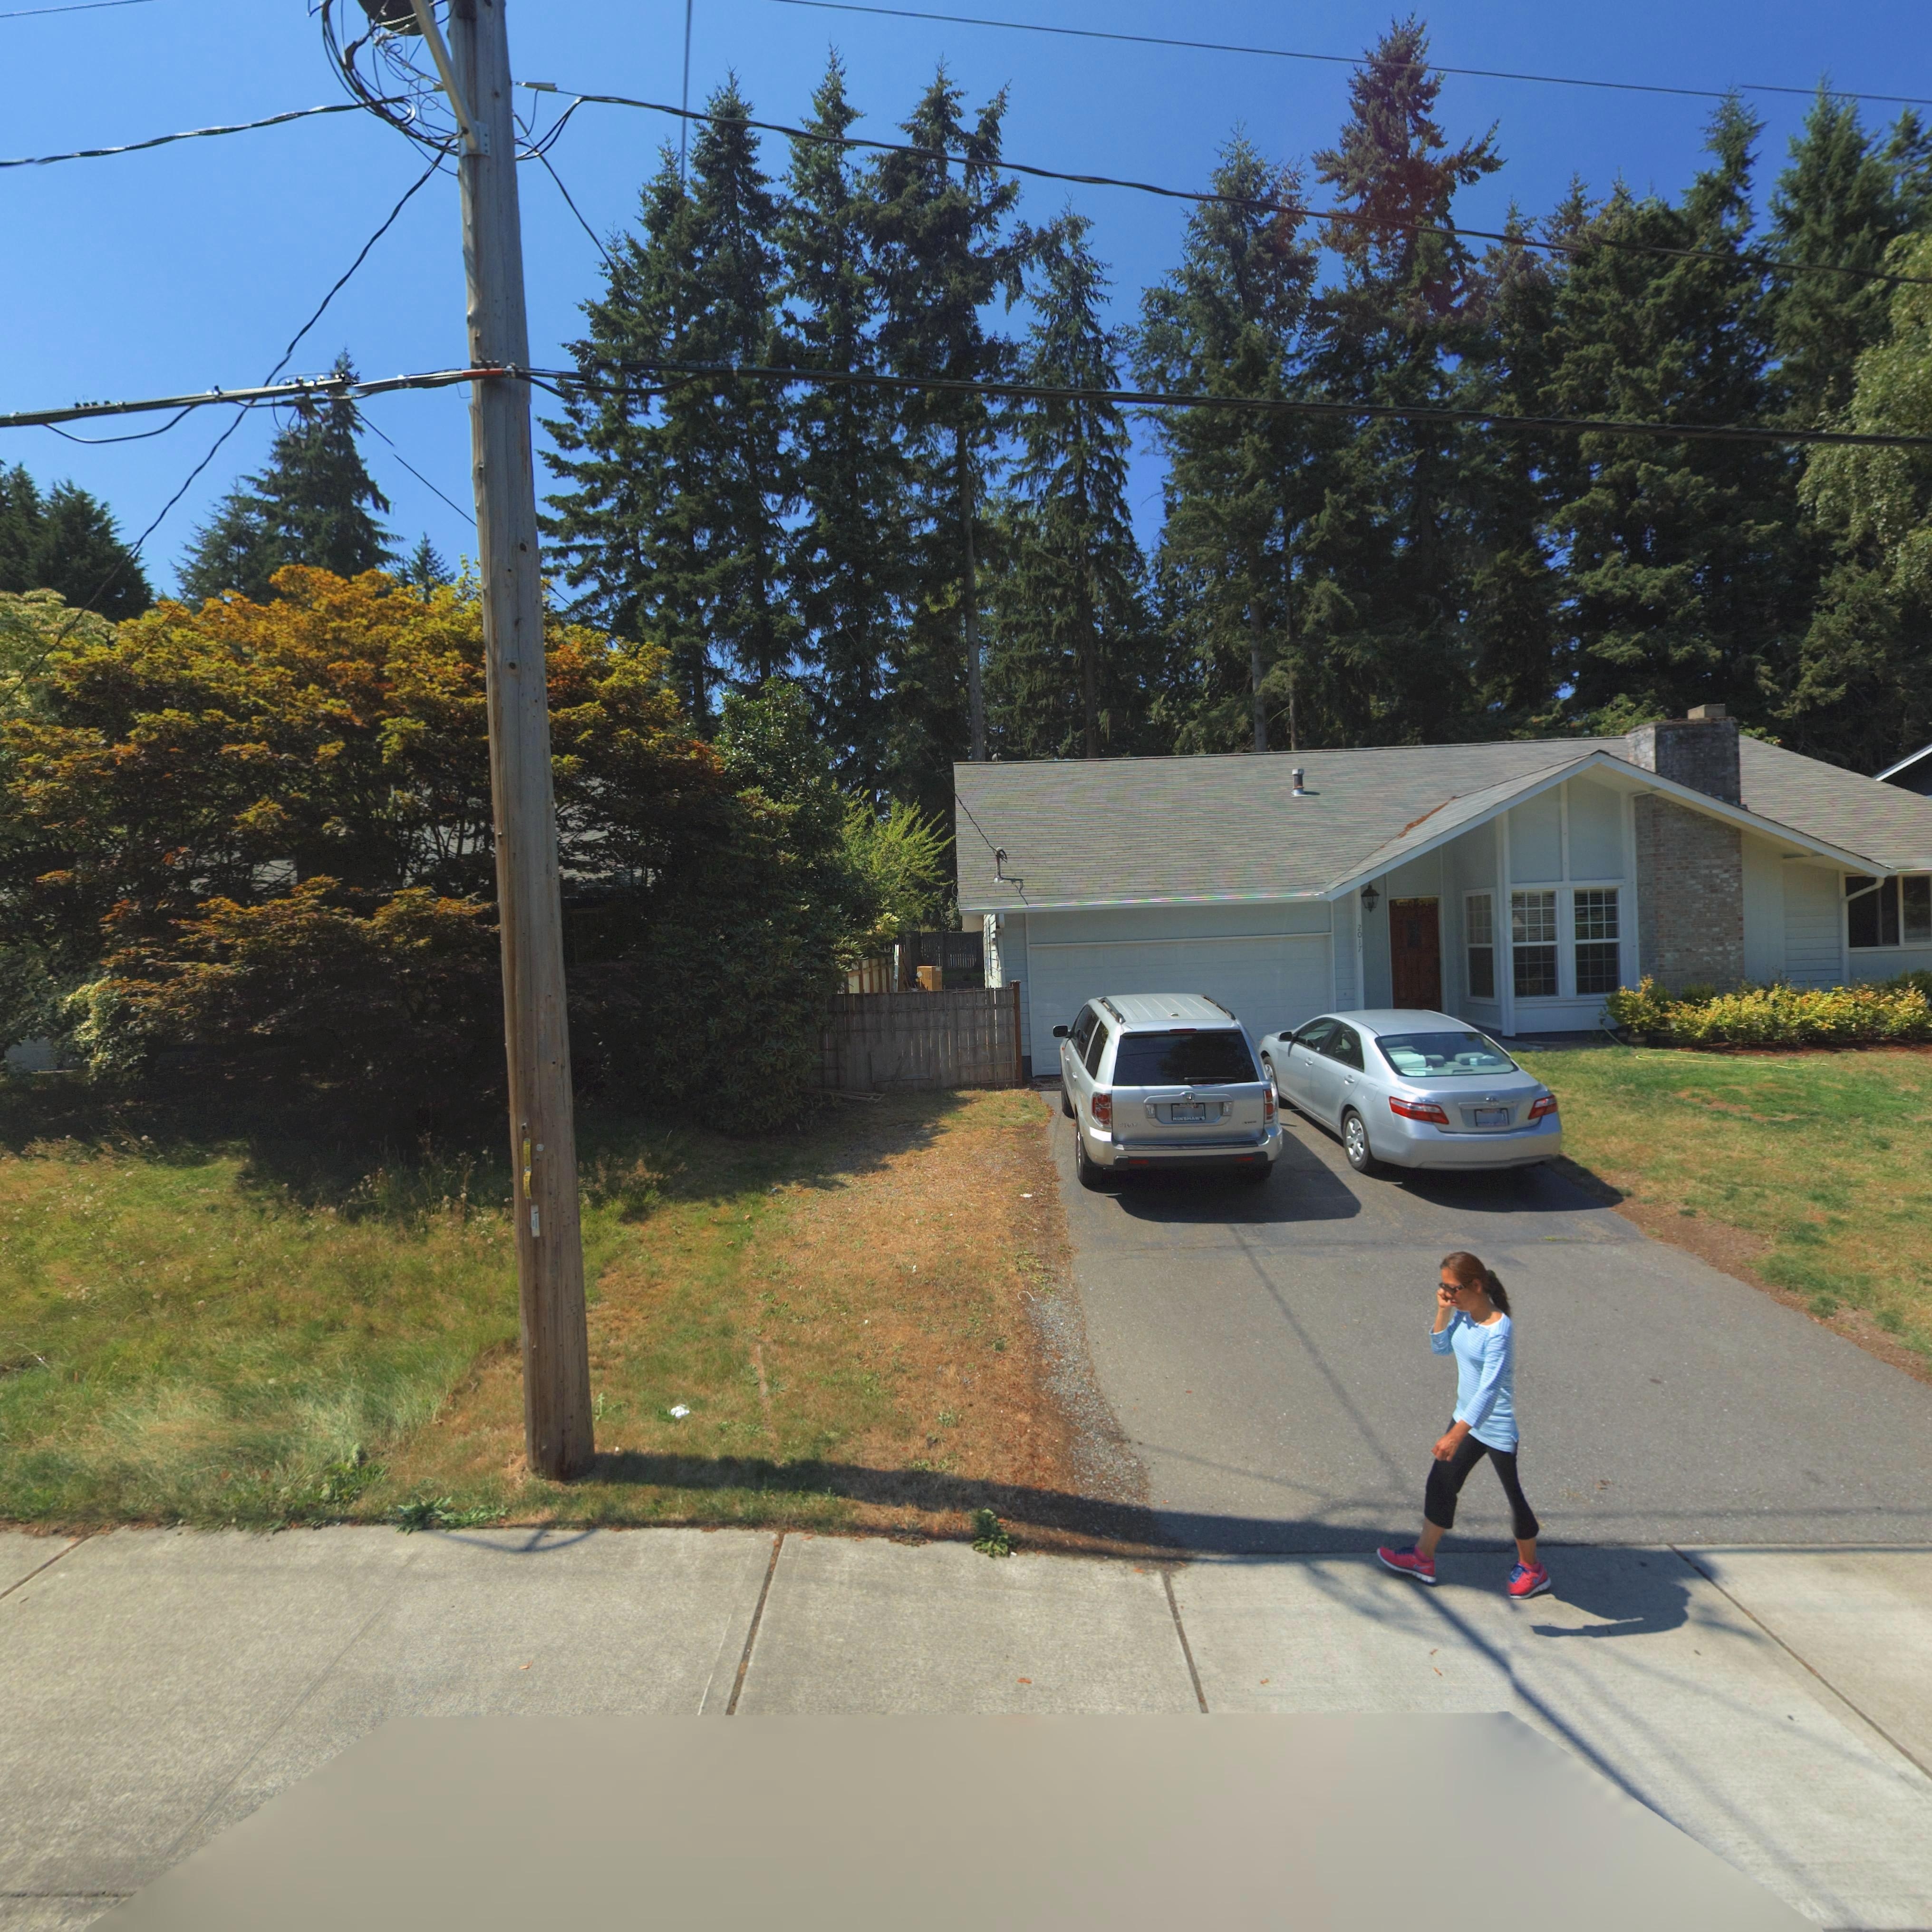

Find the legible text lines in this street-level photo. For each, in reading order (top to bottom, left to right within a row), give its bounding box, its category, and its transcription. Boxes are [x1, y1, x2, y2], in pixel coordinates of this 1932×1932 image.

[1356, 924, 1362, 954] StreetNumber: 2017